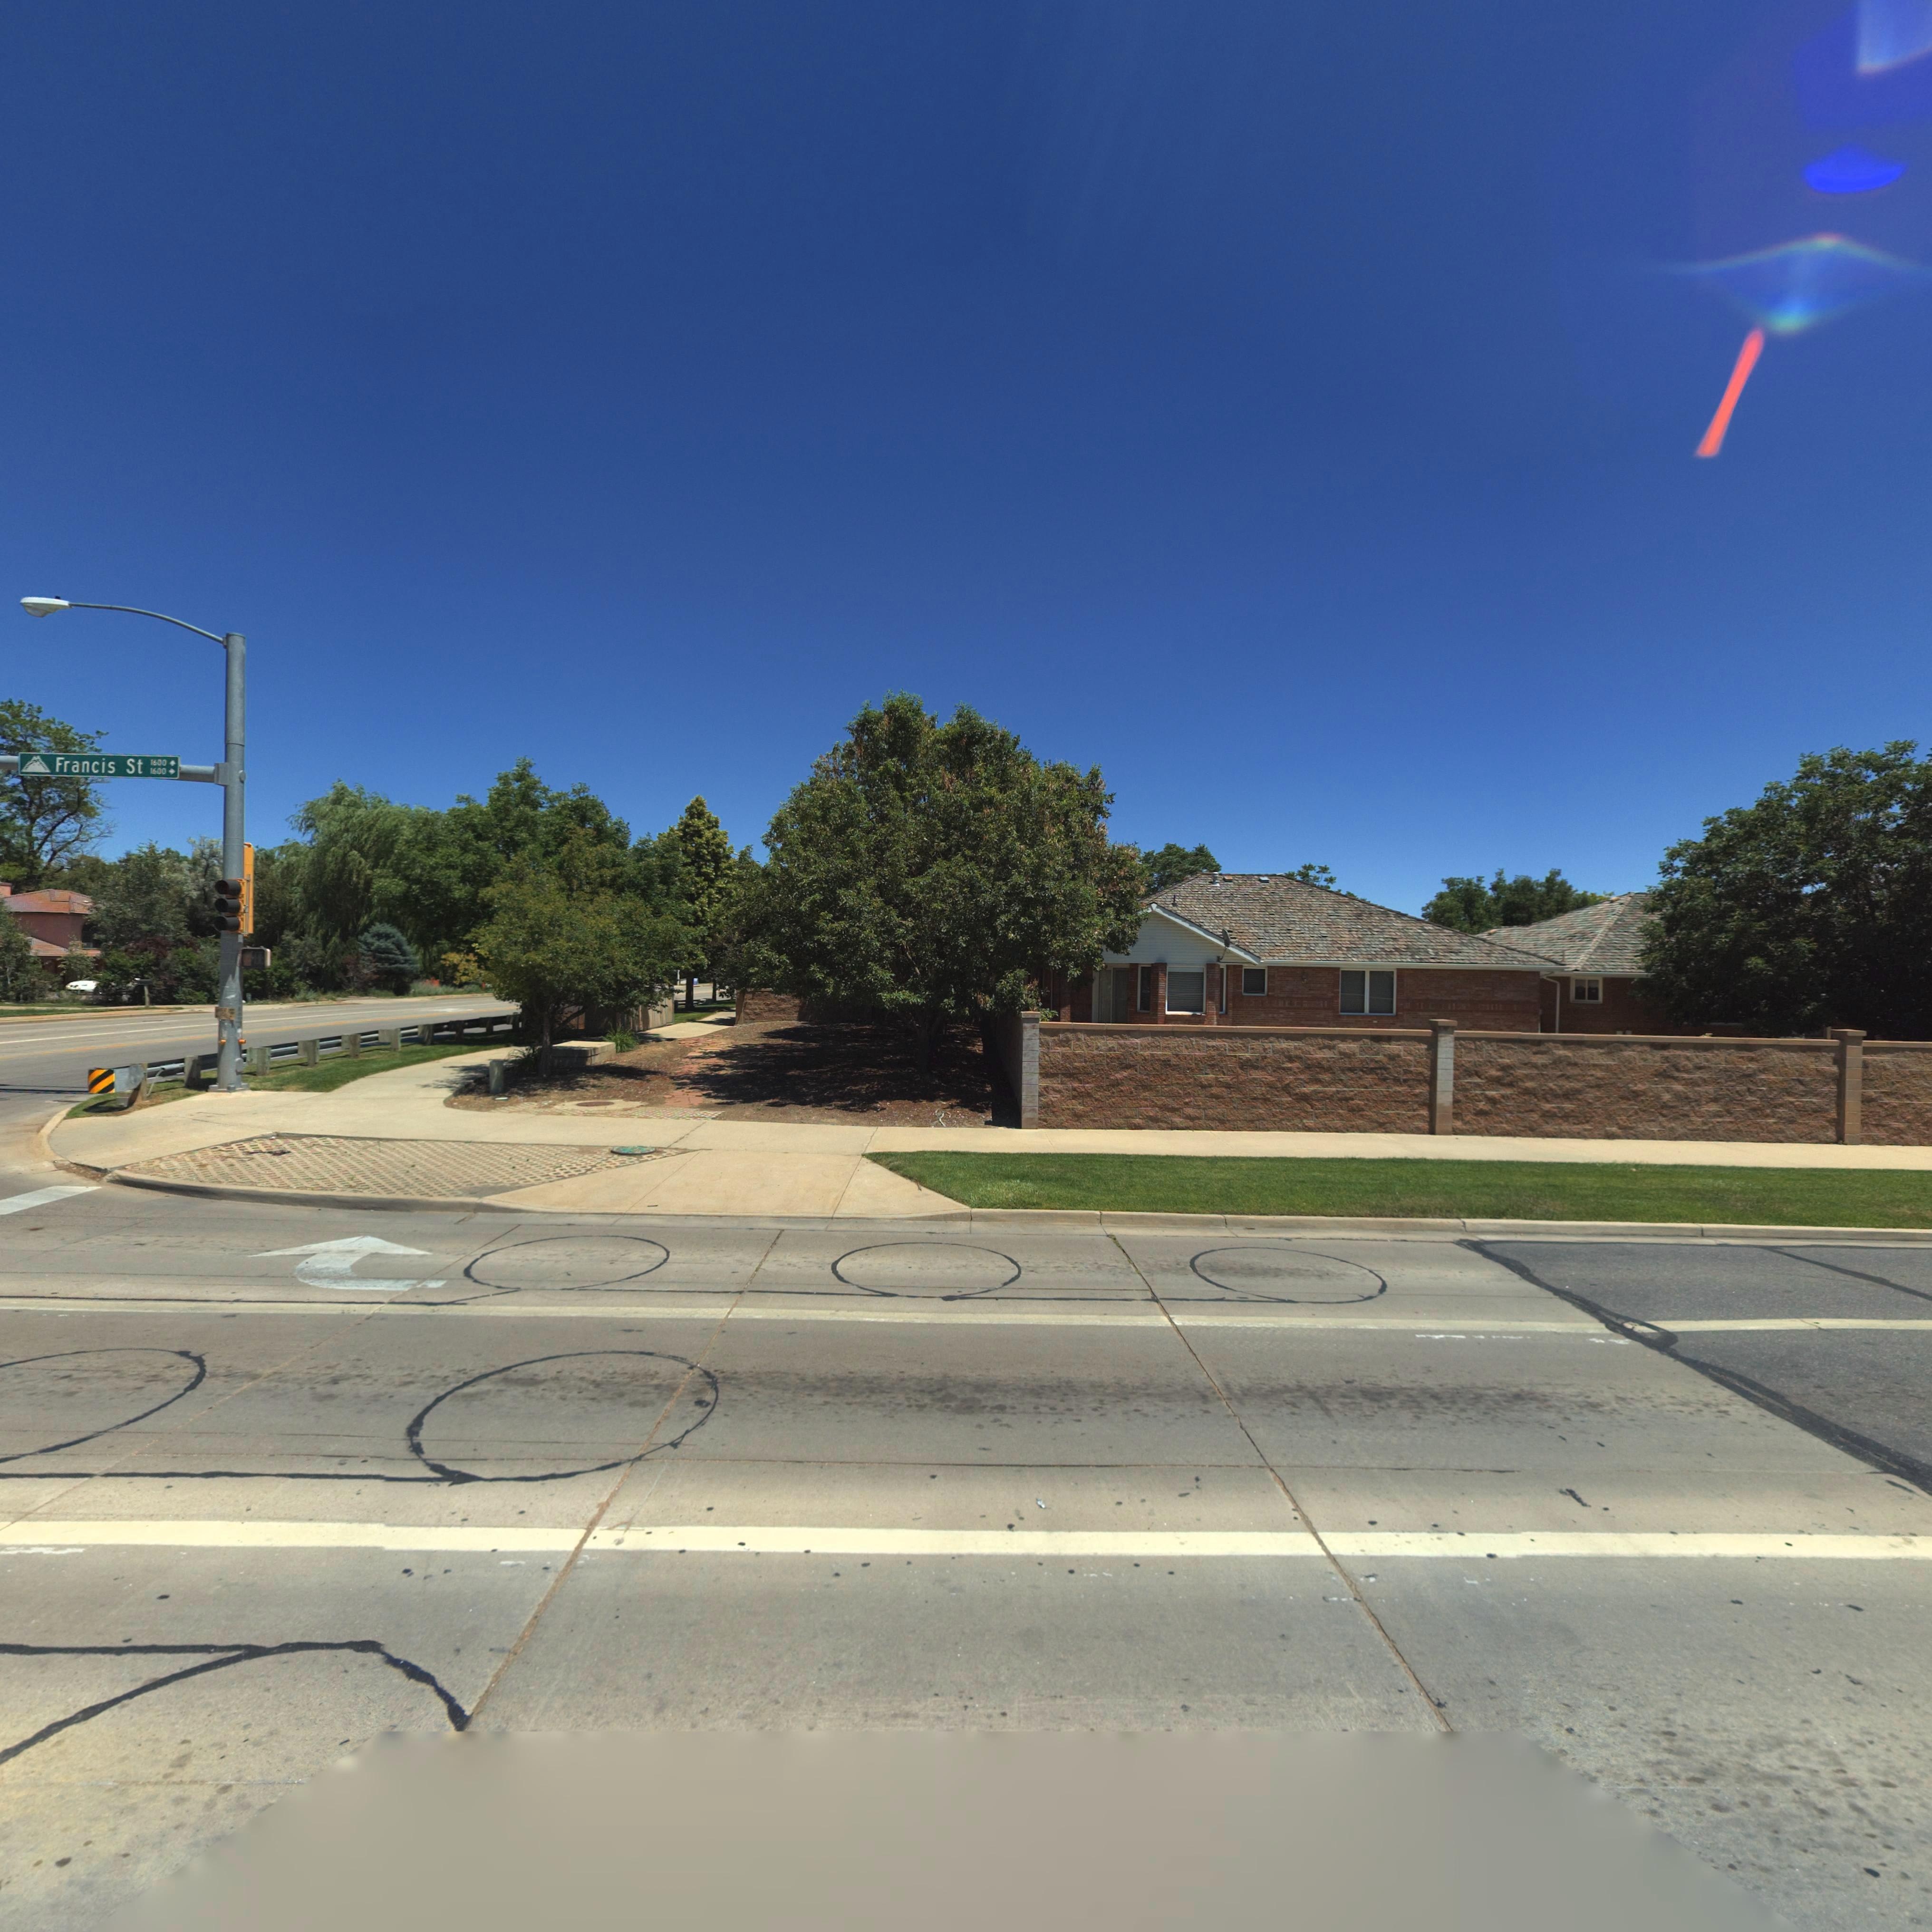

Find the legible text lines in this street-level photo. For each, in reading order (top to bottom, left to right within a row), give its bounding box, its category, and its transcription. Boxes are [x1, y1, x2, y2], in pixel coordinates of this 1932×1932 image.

[54, 756, 145, 774] StreetName: Francis St
[150, 759, 167, 766] StreetNumberRange: 1600
[150, 767, 177, 775] StreetNumberRange: 1600 ->